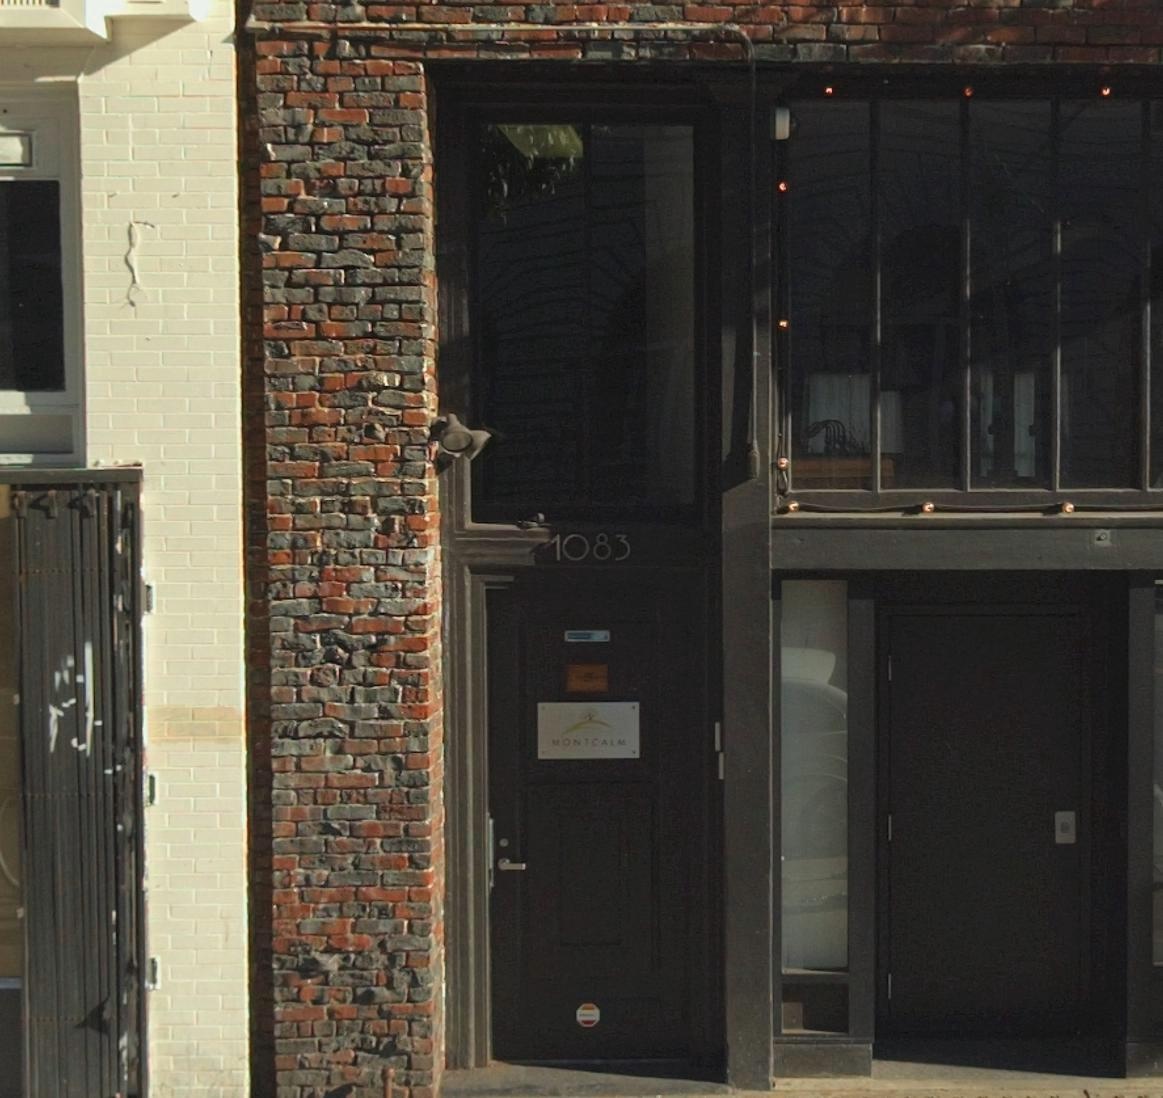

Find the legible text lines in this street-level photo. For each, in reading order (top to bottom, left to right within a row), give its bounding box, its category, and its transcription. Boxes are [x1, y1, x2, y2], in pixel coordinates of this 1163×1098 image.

[548, 531, 632, 563] StreetNumber: 1083
[549, 737, 628, 748] BusinessName: MONTCALM